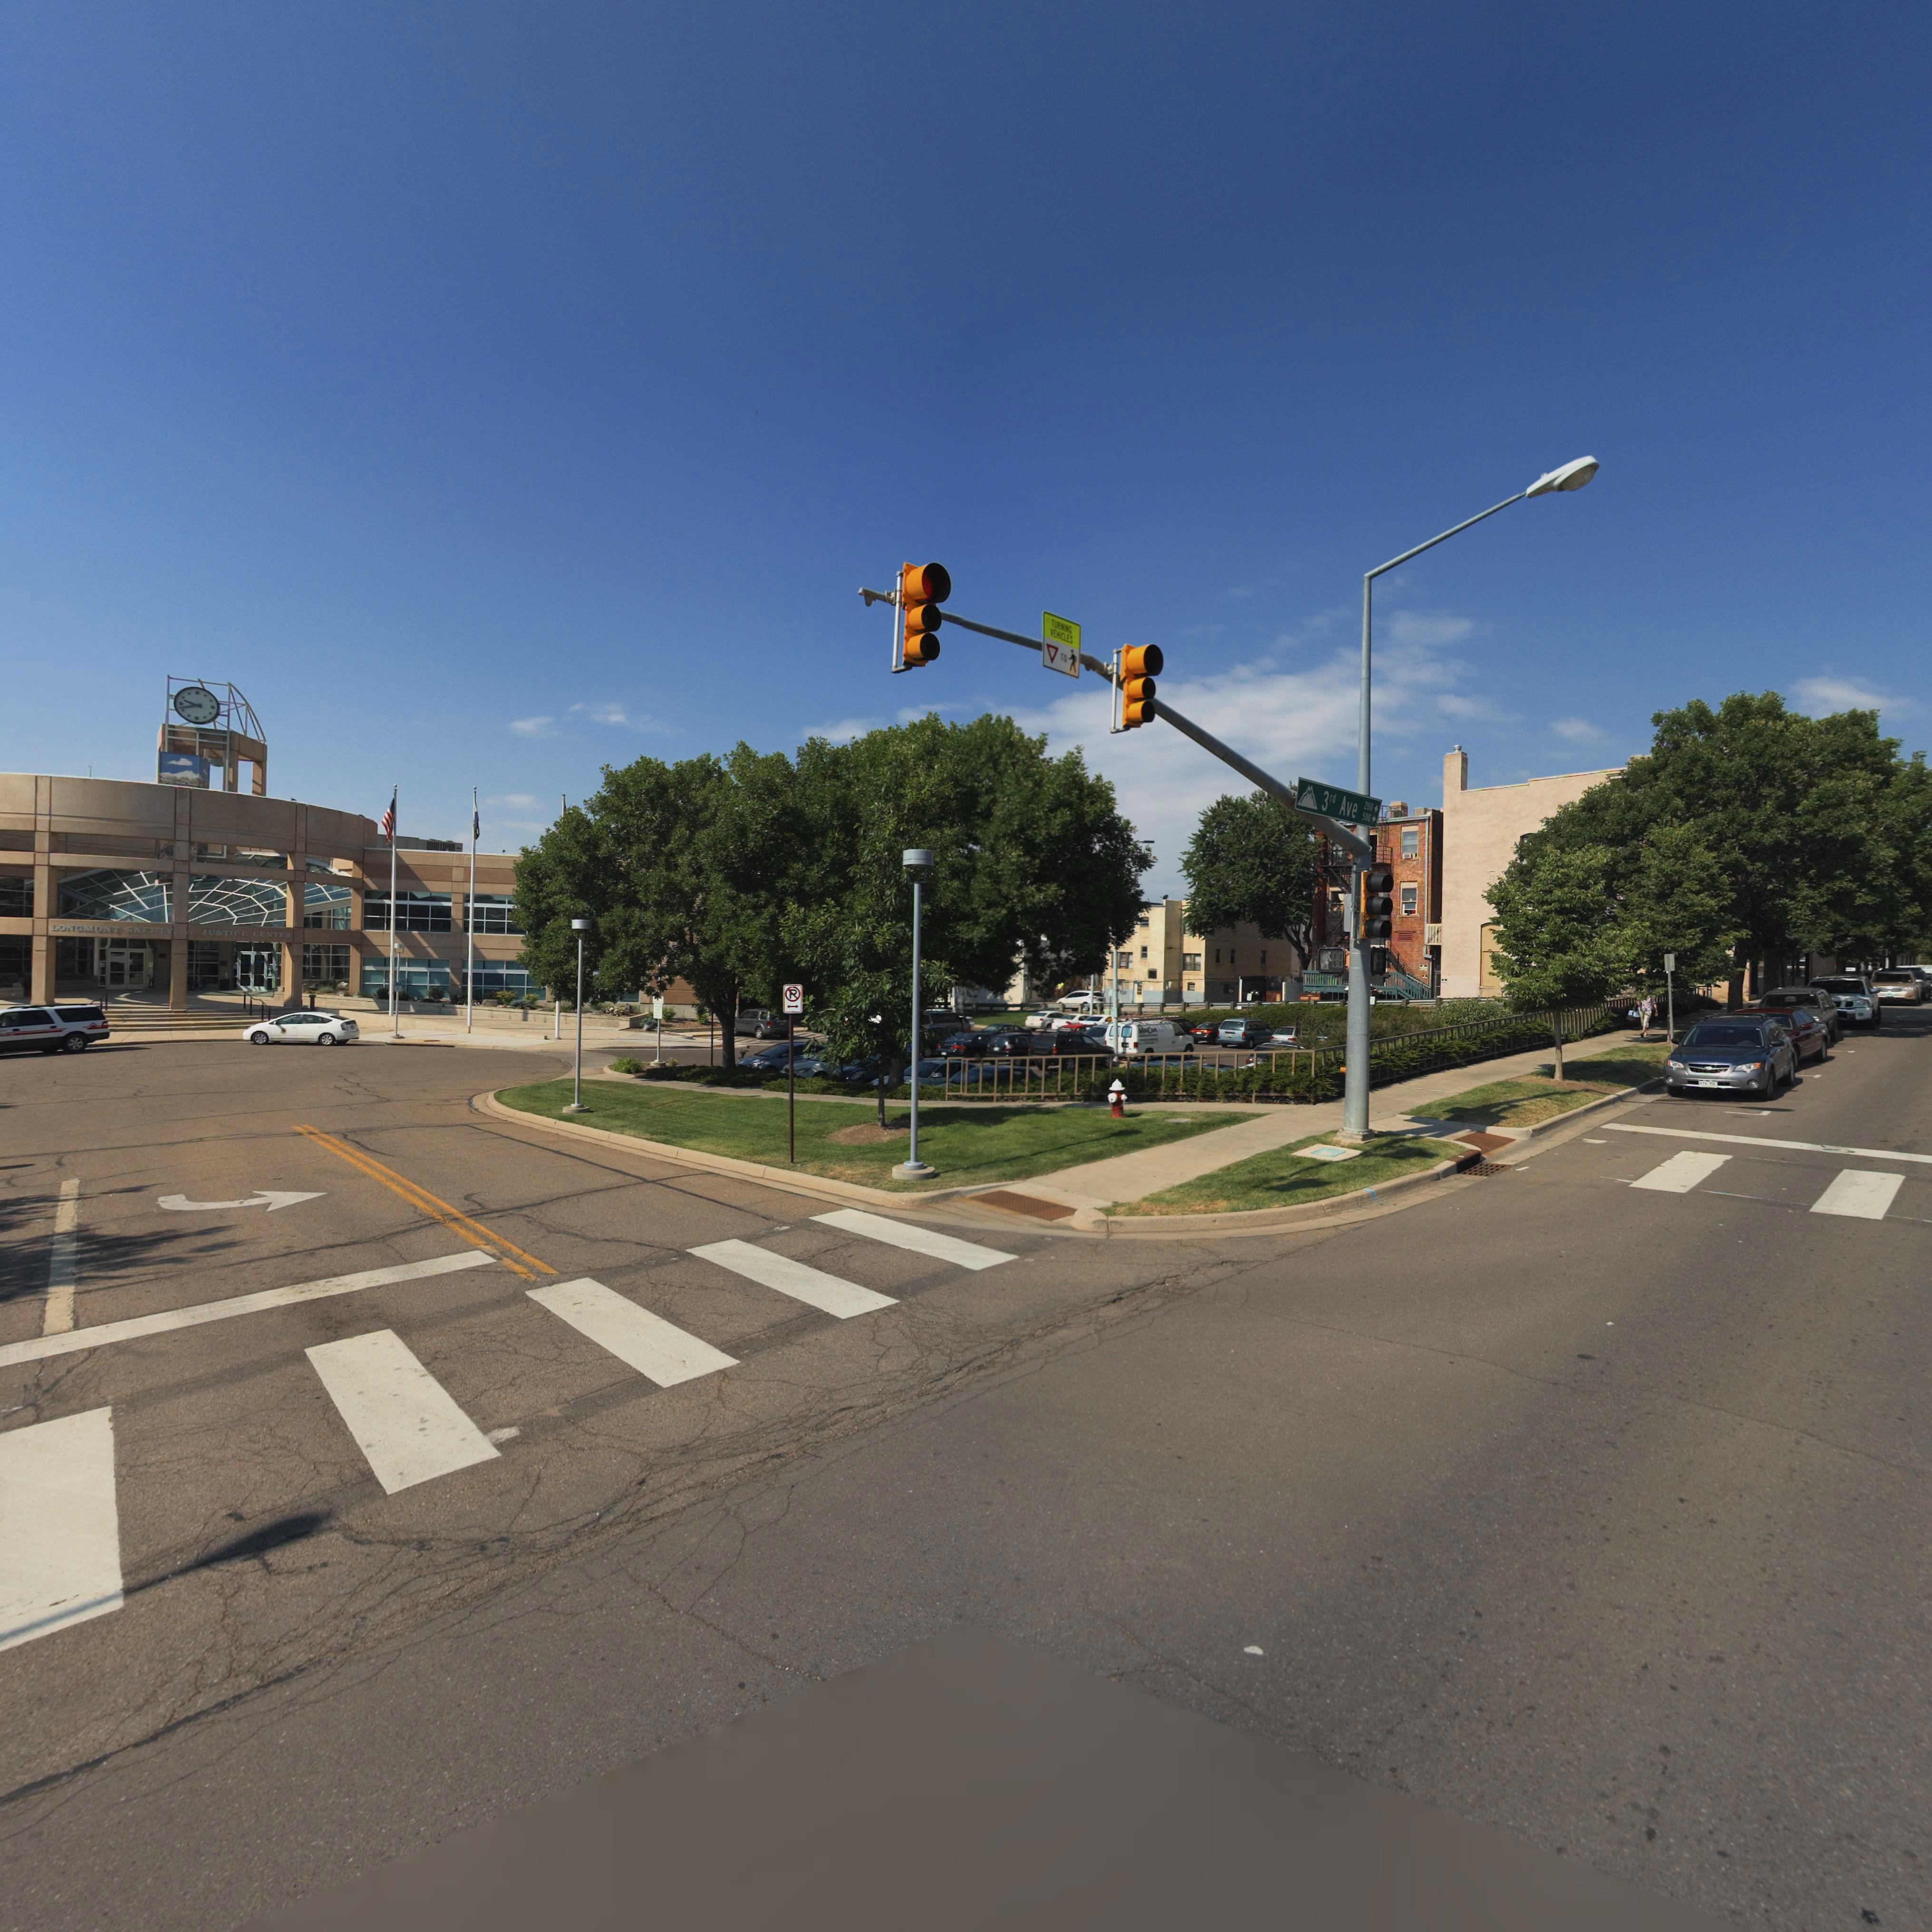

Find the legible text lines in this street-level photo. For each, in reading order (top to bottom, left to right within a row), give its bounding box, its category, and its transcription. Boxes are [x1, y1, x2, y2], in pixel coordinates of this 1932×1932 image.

[1321, 790, 1358, 819] StreetName: 3rd Ave
[1363, 801, 1373, 811] StreetNumberRange: 200
[1361, 811, 1376, 822] StreetNumberRange: 500 ->
[51, 925, 291, 938] BusinessName: LONGMONT SAFETY *ND JUSTICE CENTER